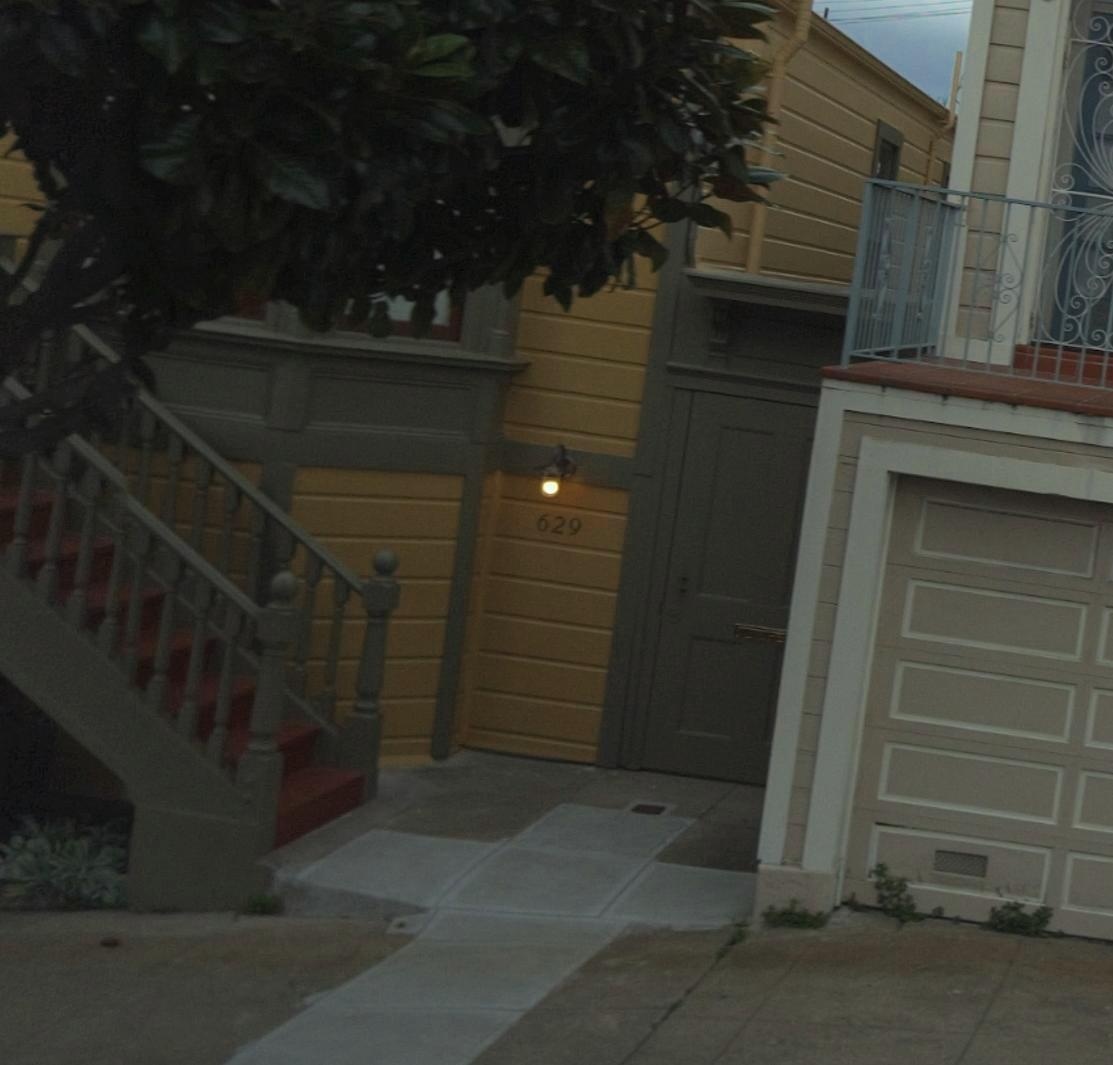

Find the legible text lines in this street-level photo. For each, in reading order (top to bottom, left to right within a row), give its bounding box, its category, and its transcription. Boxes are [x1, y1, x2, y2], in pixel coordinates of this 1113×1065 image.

[535, 511, 583, 538] StreetNumber: 629